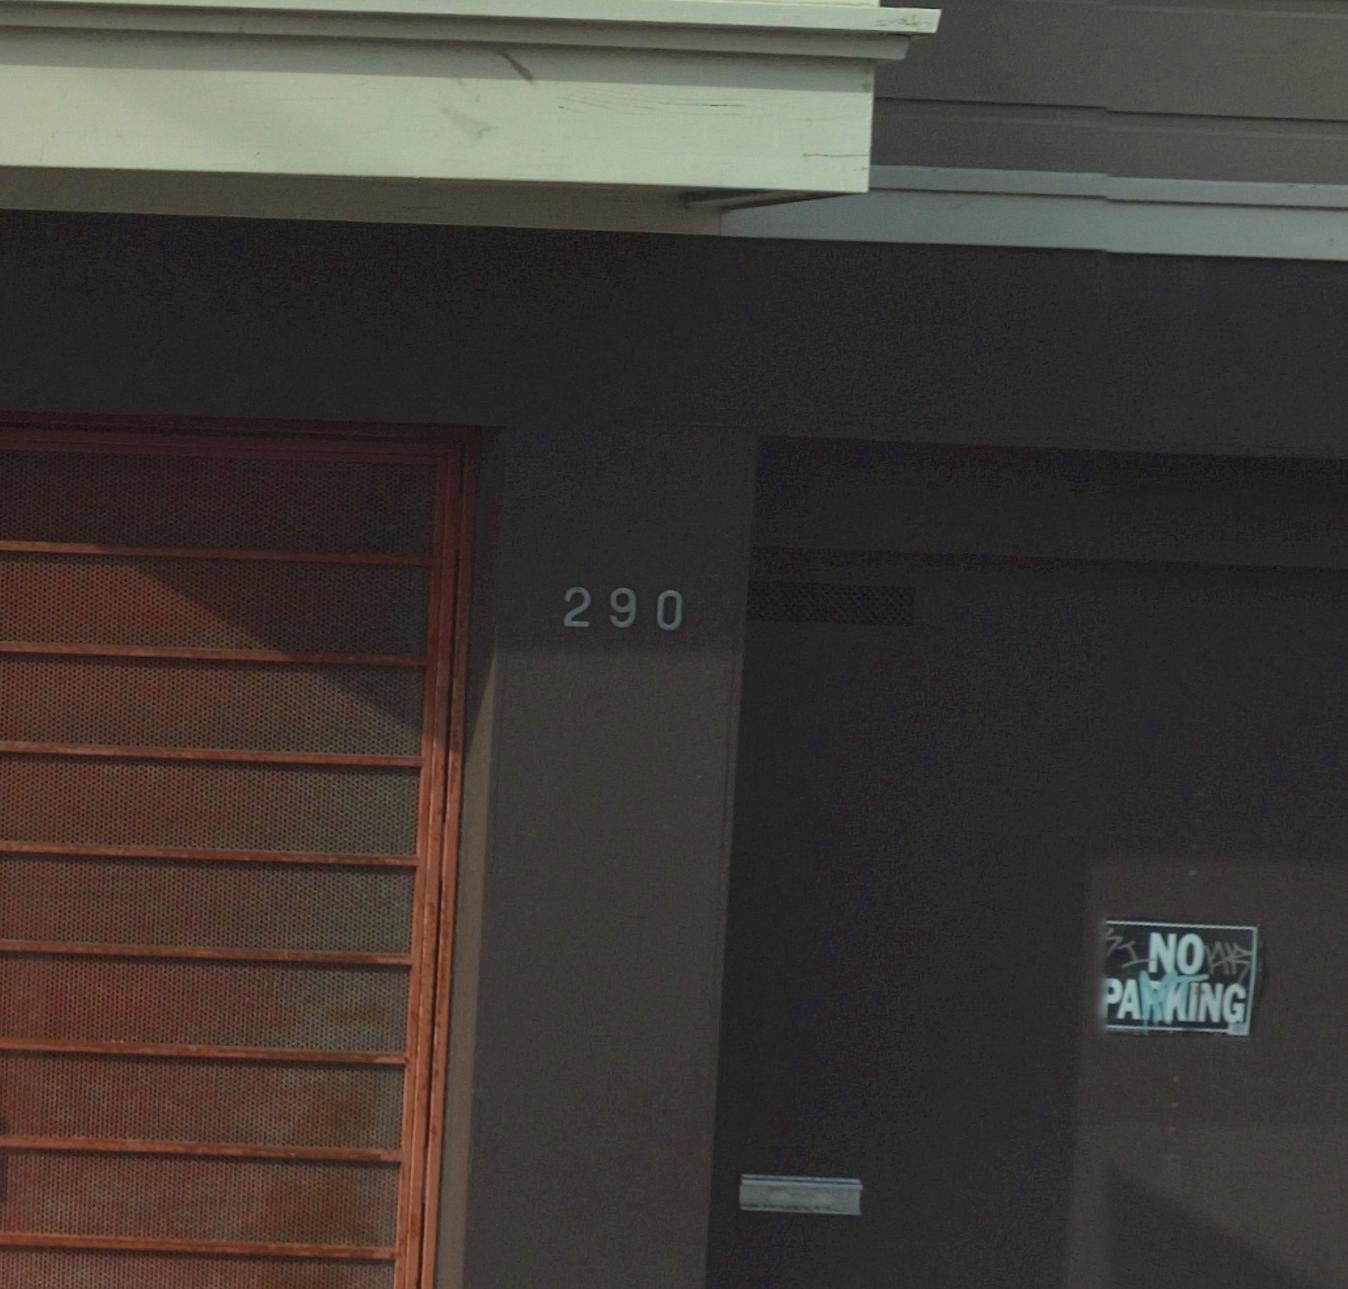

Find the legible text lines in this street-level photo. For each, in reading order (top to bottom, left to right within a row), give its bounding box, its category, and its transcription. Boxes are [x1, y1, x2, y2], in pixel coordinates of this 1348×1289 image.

[558, 583, 688, 636] StreetNumber: 290
[1146, 930, 1208, 978] None: NO
[1112, 974, 1250, 1026] None: A**ING